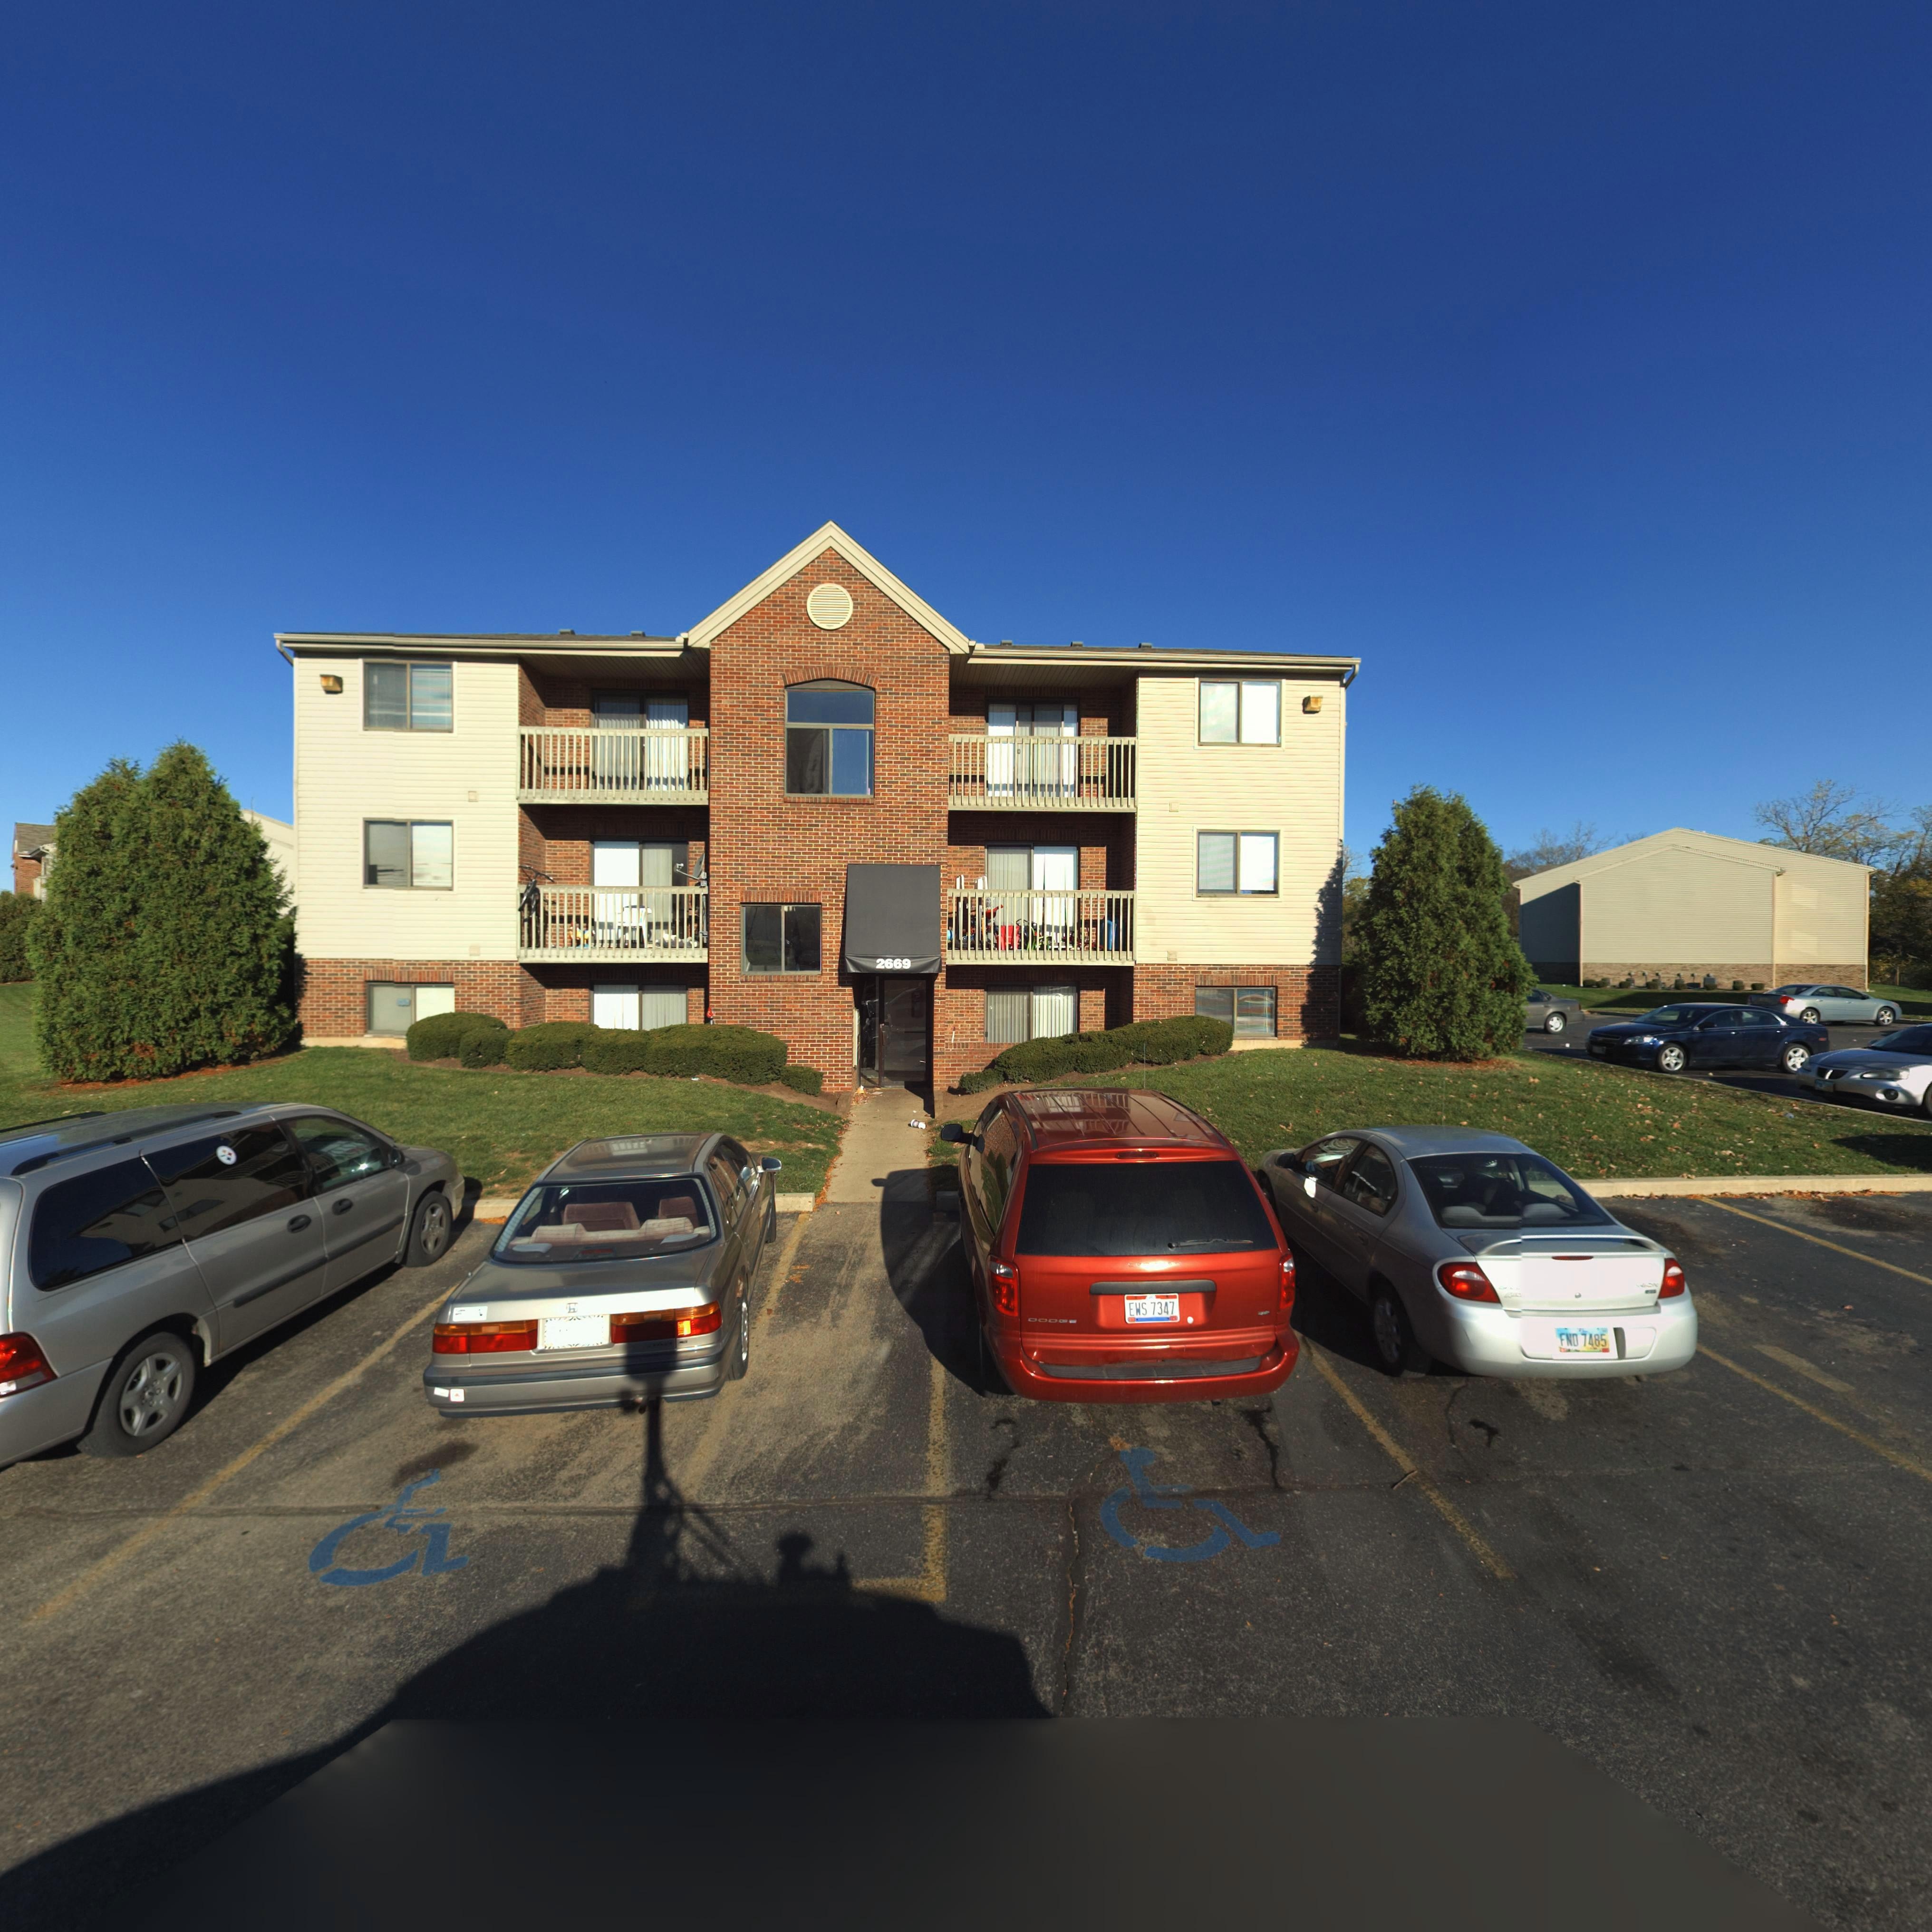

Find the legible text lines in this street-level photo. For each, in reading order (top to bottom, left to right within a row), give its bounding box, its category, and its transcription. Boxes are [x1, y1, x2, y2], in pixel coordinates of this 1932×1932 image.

[876, 958, 911, 969] StreetNumber: 2669